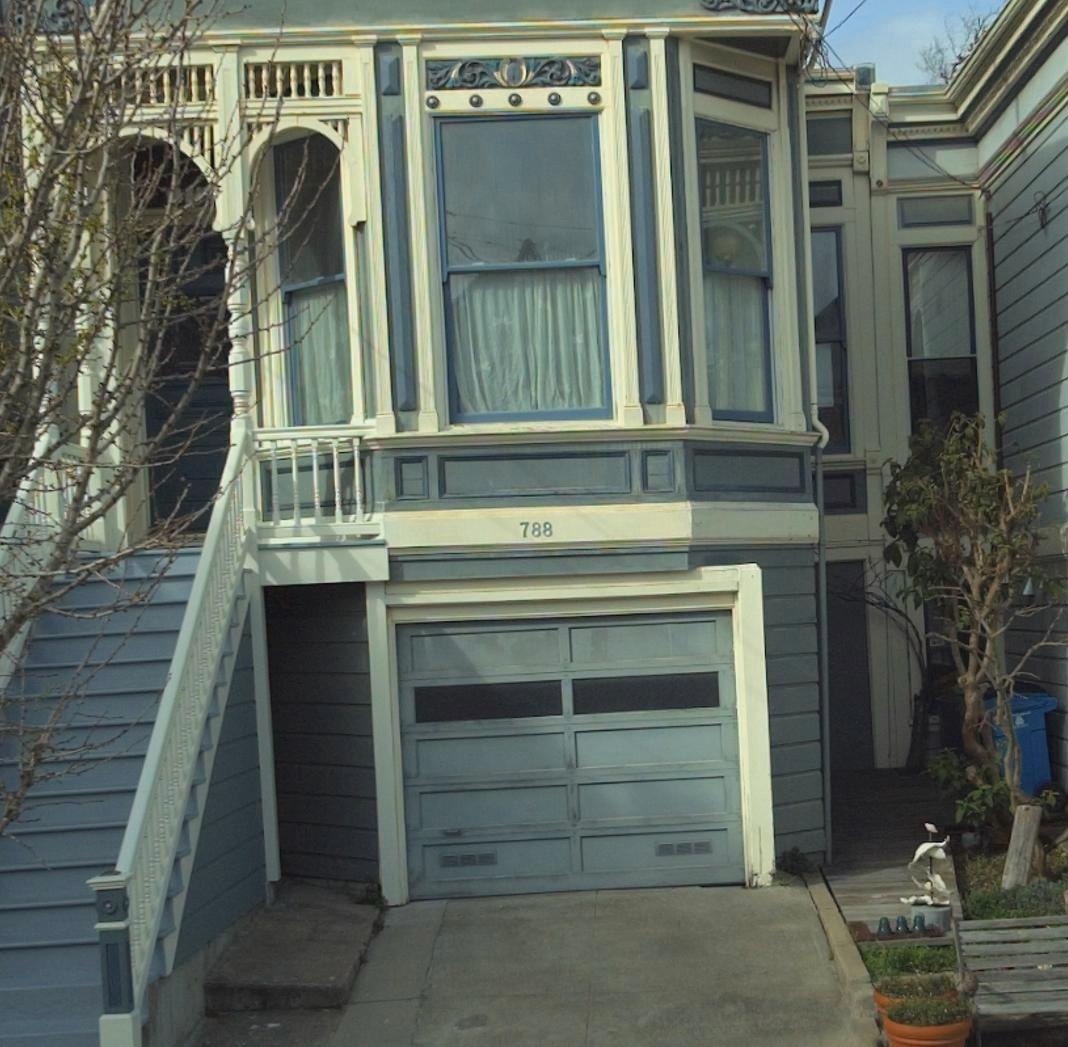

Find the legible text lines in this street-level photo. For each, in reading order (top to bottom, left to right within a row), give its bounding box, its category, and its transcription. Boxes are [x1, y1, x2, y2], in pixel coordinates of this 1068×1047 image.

[519, 519, 554, 540] StreetNumber: 788